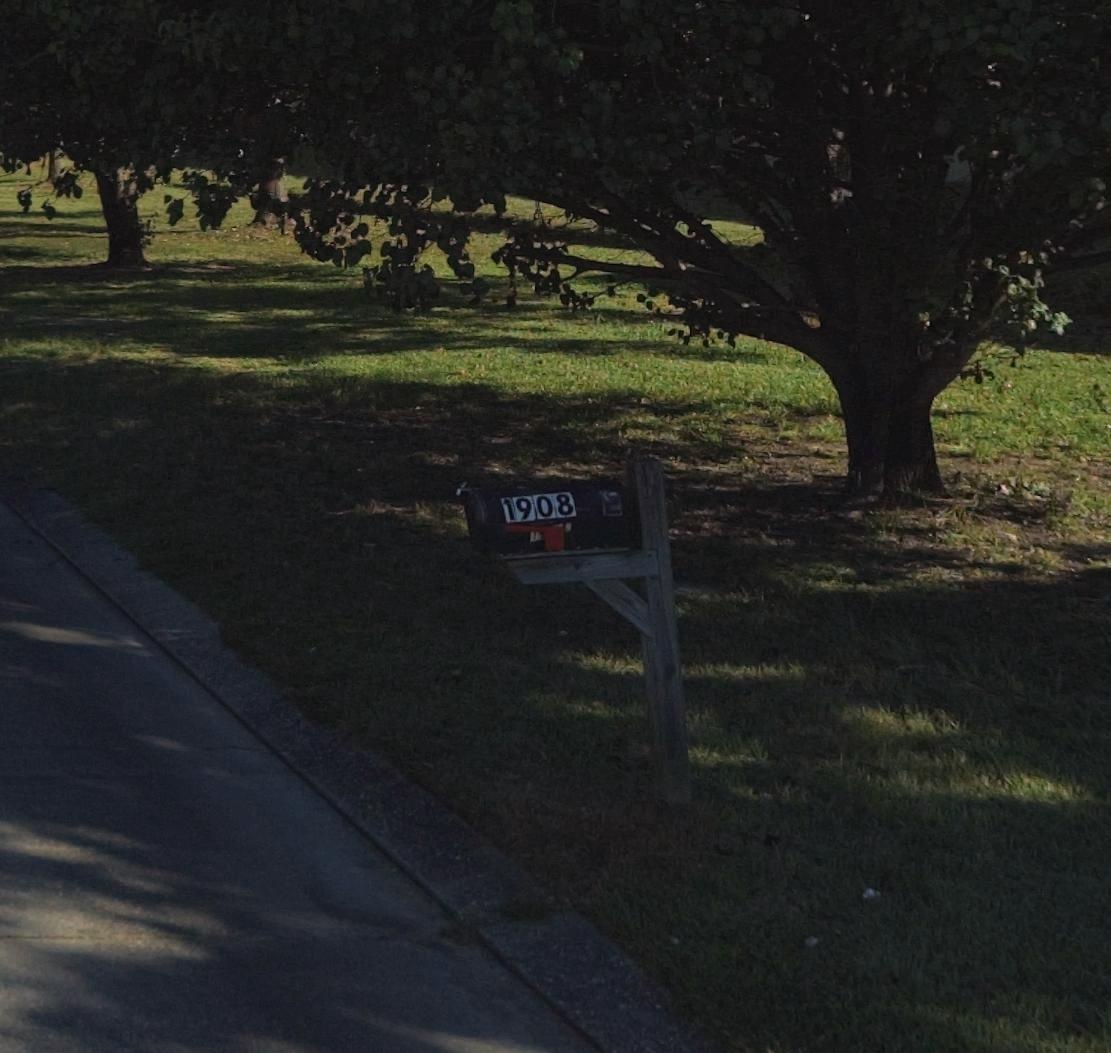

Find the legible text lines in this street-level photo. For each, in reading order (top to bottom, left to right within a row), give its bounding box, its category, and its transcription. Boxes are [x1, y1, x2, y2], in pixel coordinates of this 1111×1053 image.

[499, 489, 578, 524] StreetNumber: 1908